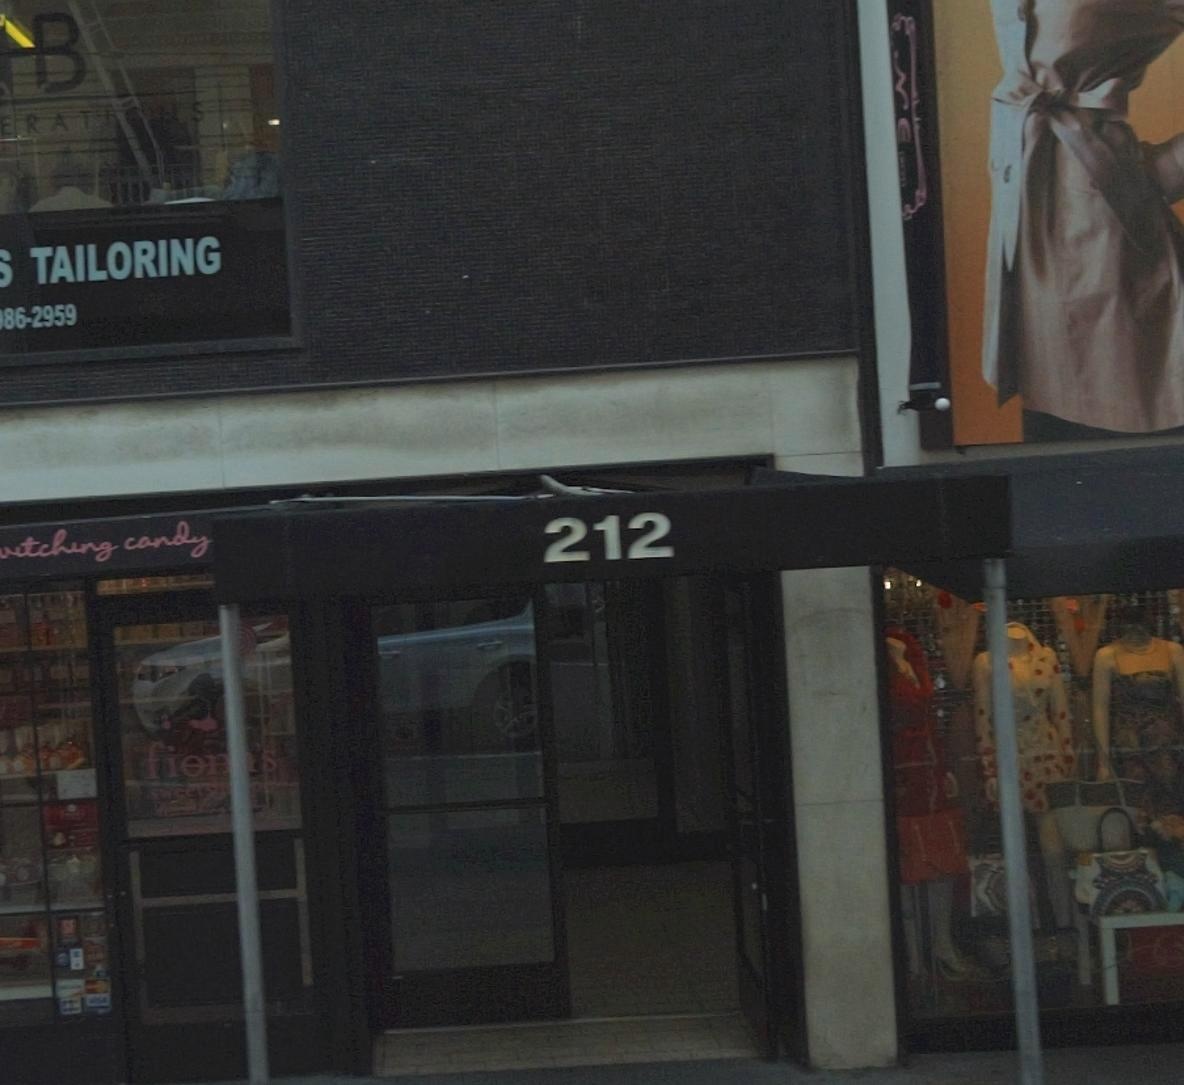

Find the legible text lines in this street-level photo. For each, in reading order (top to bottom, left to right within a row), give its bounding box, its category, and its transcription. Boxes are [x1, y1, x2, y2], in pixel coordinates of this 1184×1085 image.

[24, 6, 94, 102] BusinessName: B
[22, 96, 212, 141] BusinessName: RATIONS
[24, 231, 225, 289] BusinessName: TAILORING
[1, 300, 81, 334] None: 86-2959
[8, 516, 219, 570] BusinessName: itching candy
[538, 507, 680, 567] StreetNumber: 212
[143, 734, 287, 788] BusinessName: fion*'s